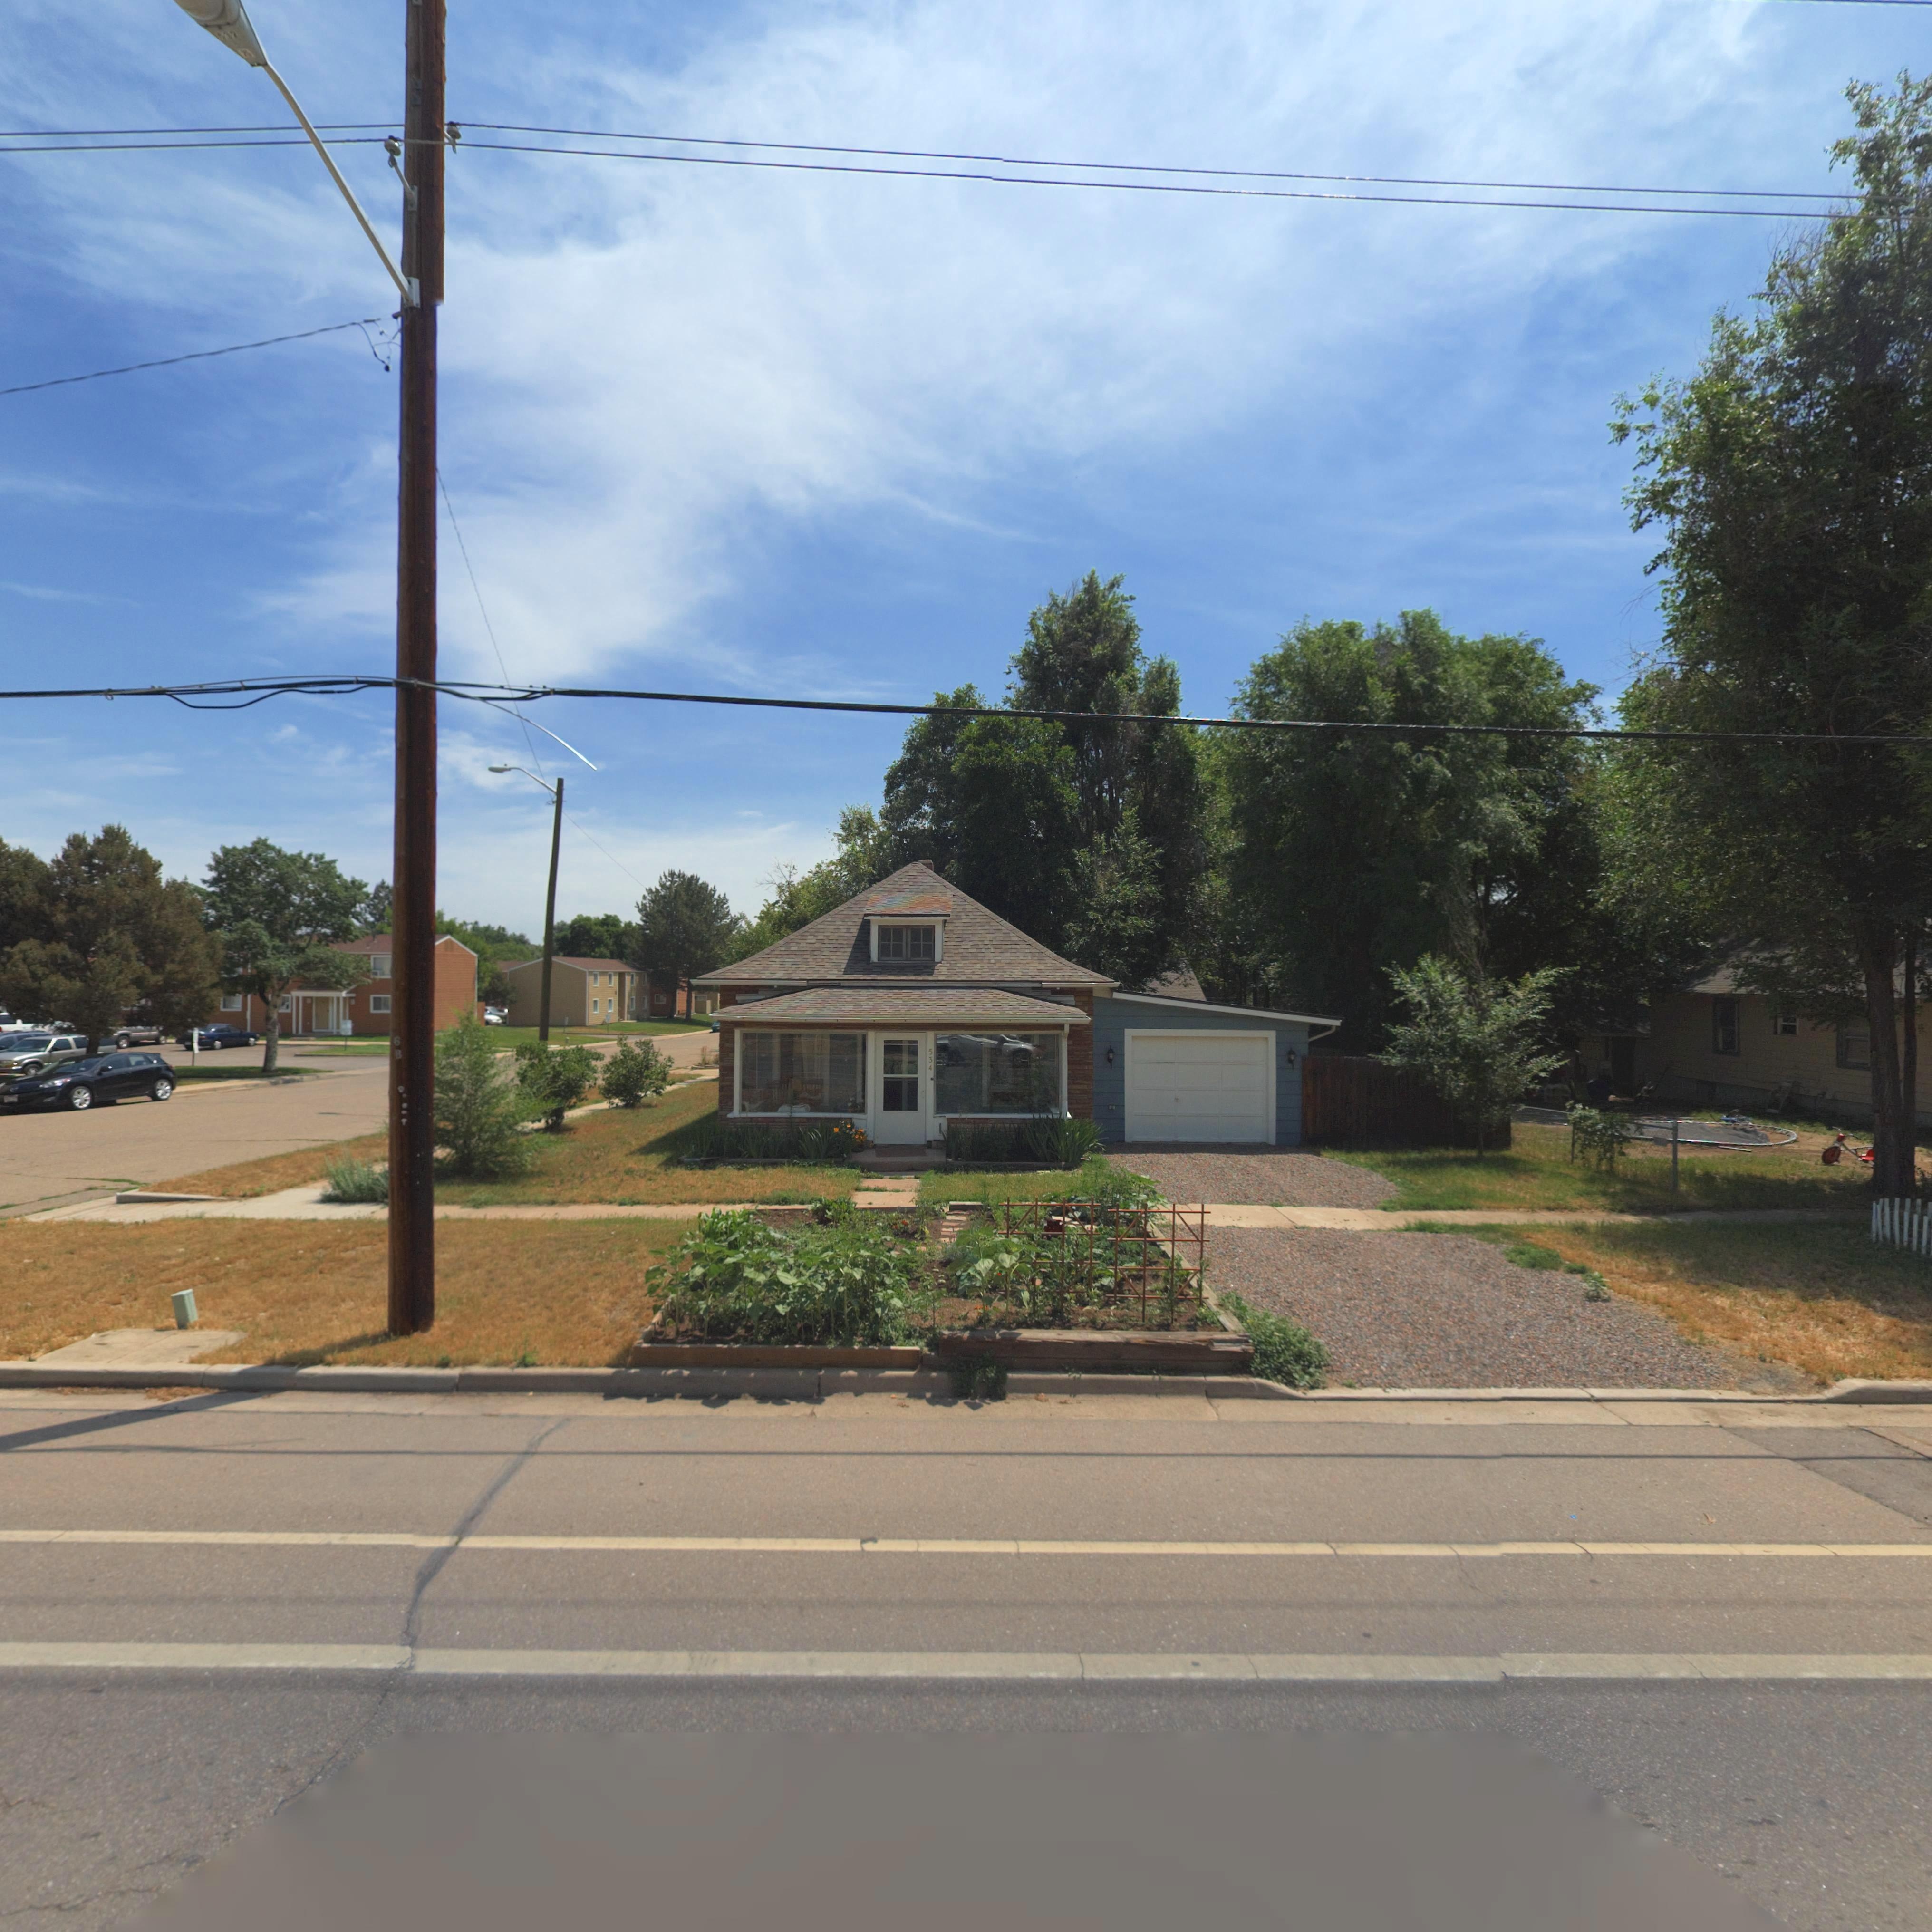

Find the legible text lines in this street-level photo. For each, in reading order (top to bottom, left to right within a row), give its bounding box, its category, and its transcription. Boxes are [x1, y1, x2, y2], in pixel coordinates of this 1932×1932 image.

[928, 1048, 932, 1071] StreetNumber: 534